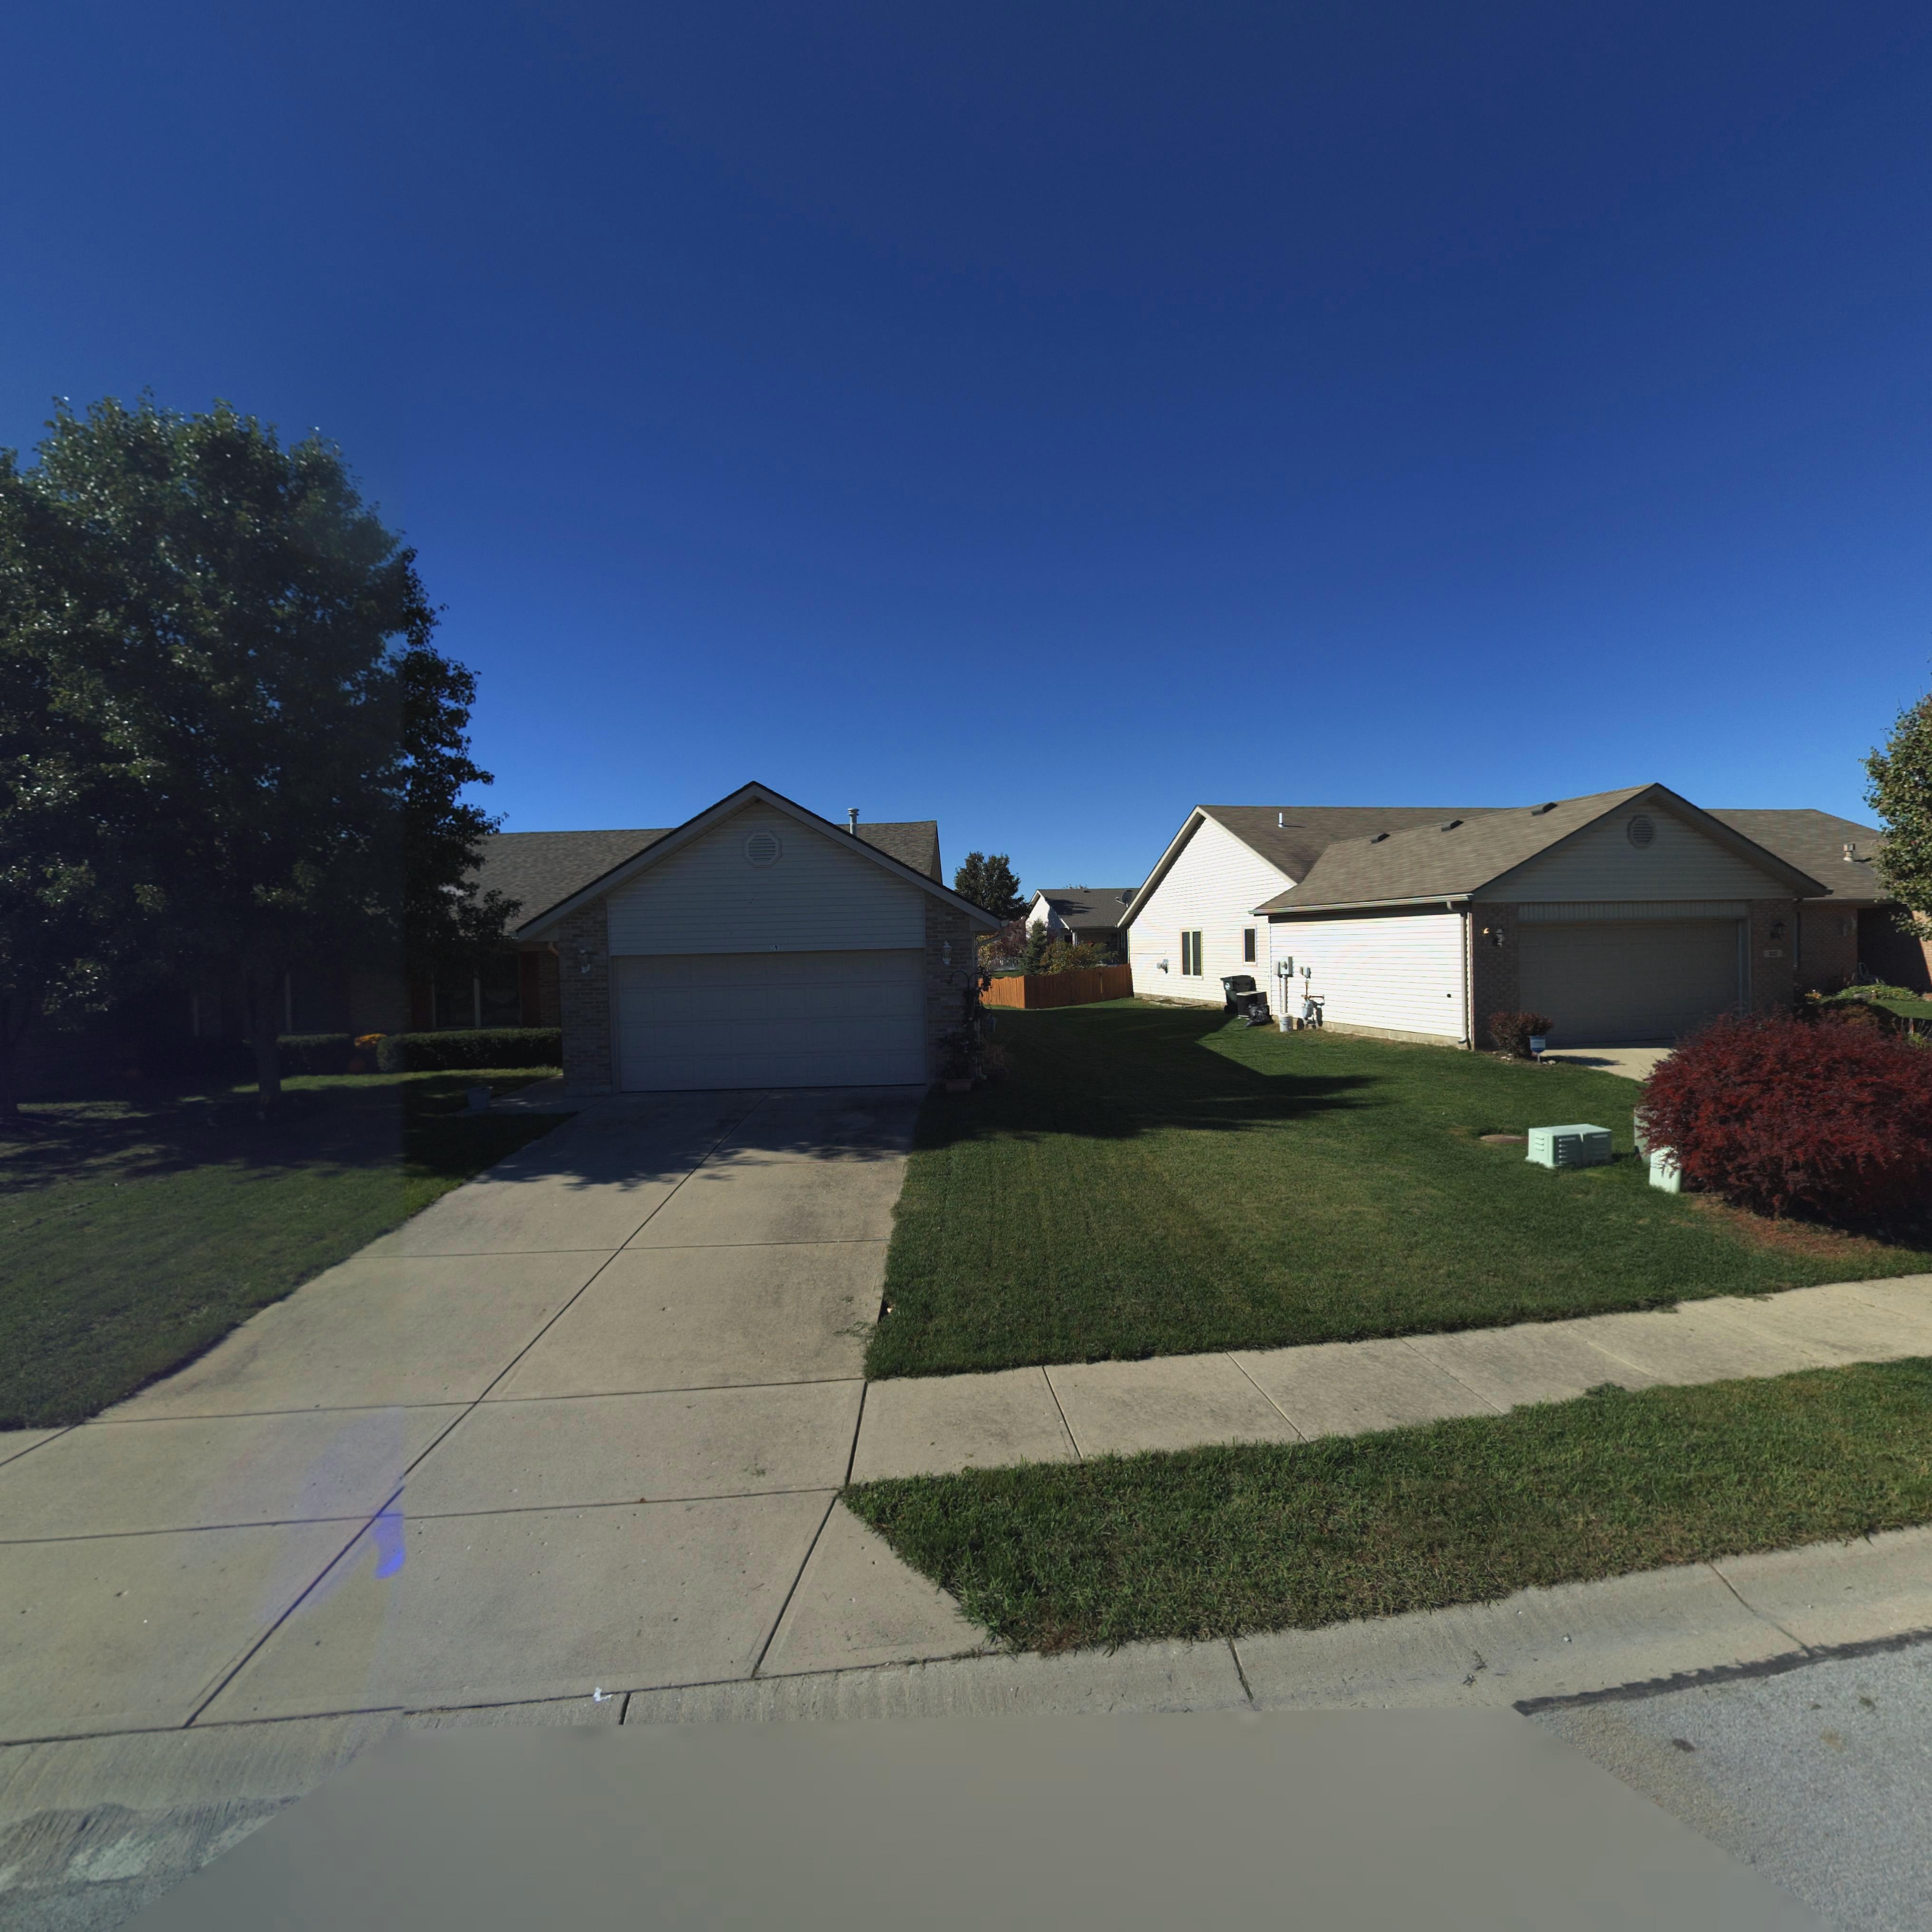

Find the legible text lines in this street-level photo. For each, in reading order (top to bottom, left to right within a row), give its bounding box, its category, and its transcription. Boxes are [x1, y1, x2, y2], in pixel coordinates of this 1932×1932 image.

[1768, 950, 1778, 956] StreetNumber: 222